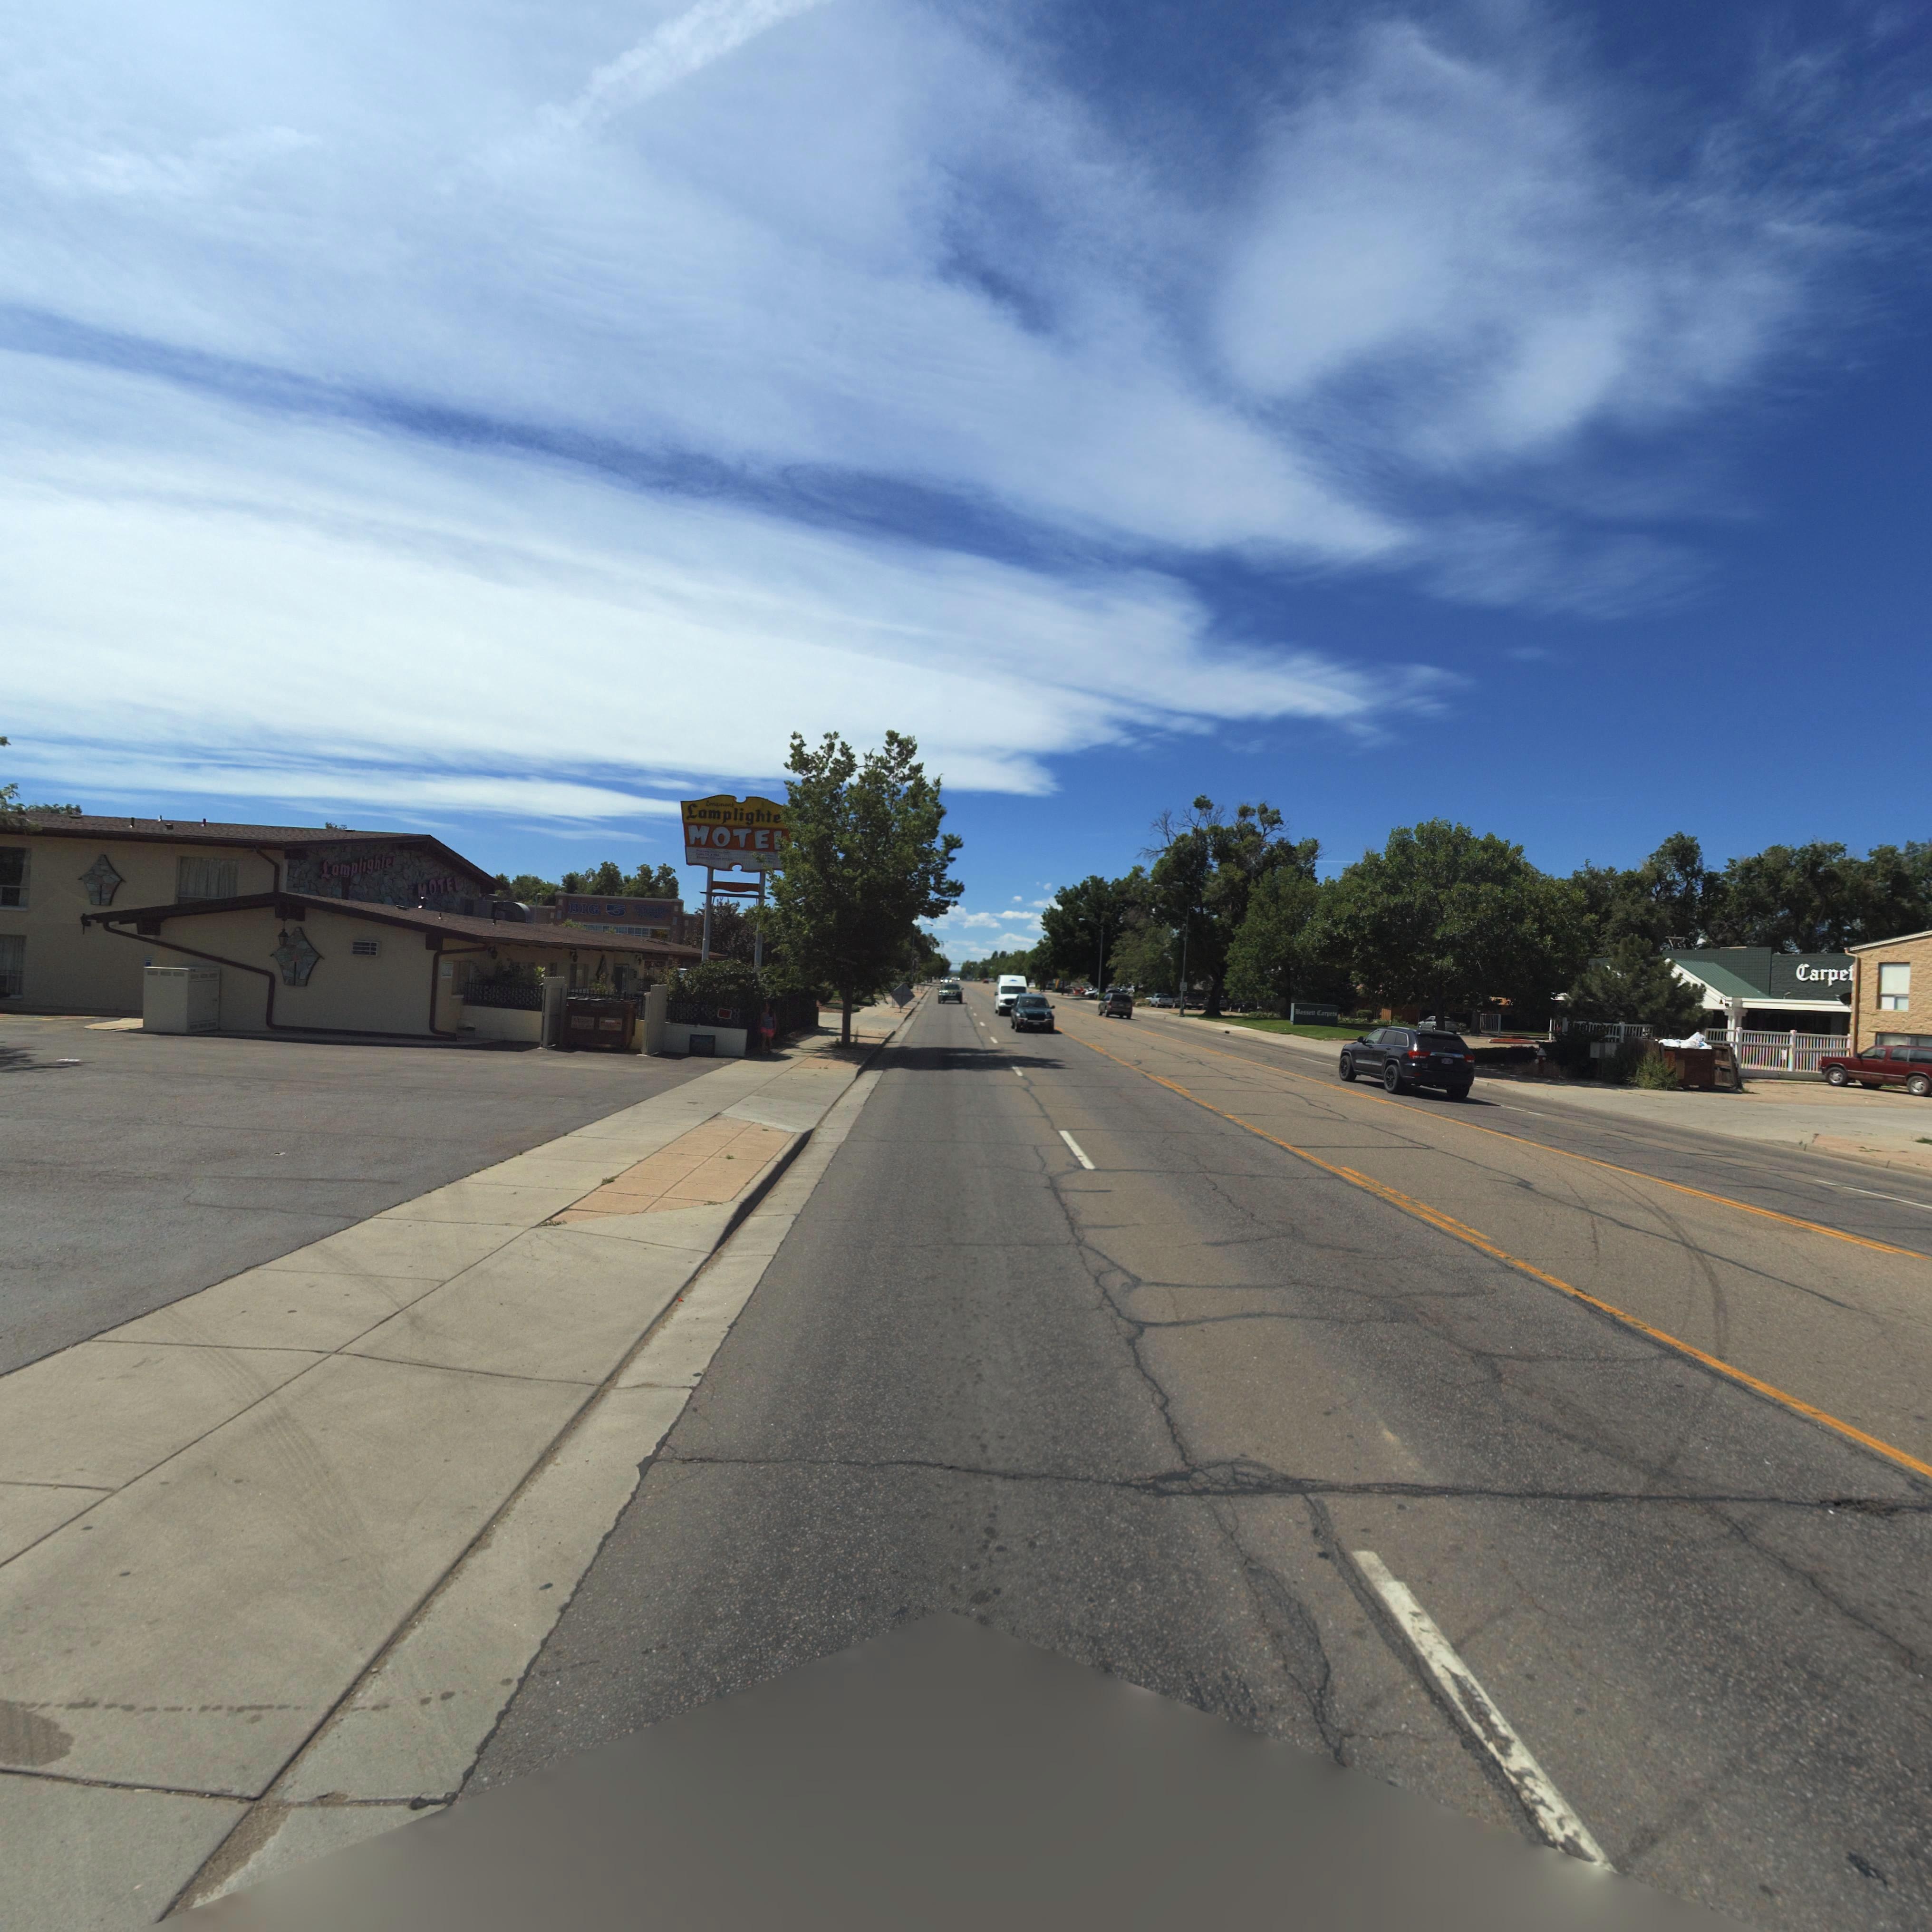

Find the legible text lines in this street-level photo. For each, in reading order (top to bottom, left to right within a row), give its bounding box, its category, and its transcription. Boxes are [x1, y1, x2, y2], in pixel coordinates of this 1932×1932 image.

[705, 799, 735, 808] BusinessName: Longmont
[686, 802, 782, 826] BusinessName: Lamplighte
[687, 824, 791, 850] BusinessName: MOTE*
[319, 852, 399, 880] BusinessName: Lamplighter
[416, 874, 463, 899] BusinessName: MOTEL
[567, 901, 627, 918] BusinessName: BIG 5
[632, 904, 670, 914] BusinessName: A*******
[1797, 963, 1855, 985] BusinessName: Carpet
[1295, 1008, 1337, 1017] BusinessName: Bassett Carpets